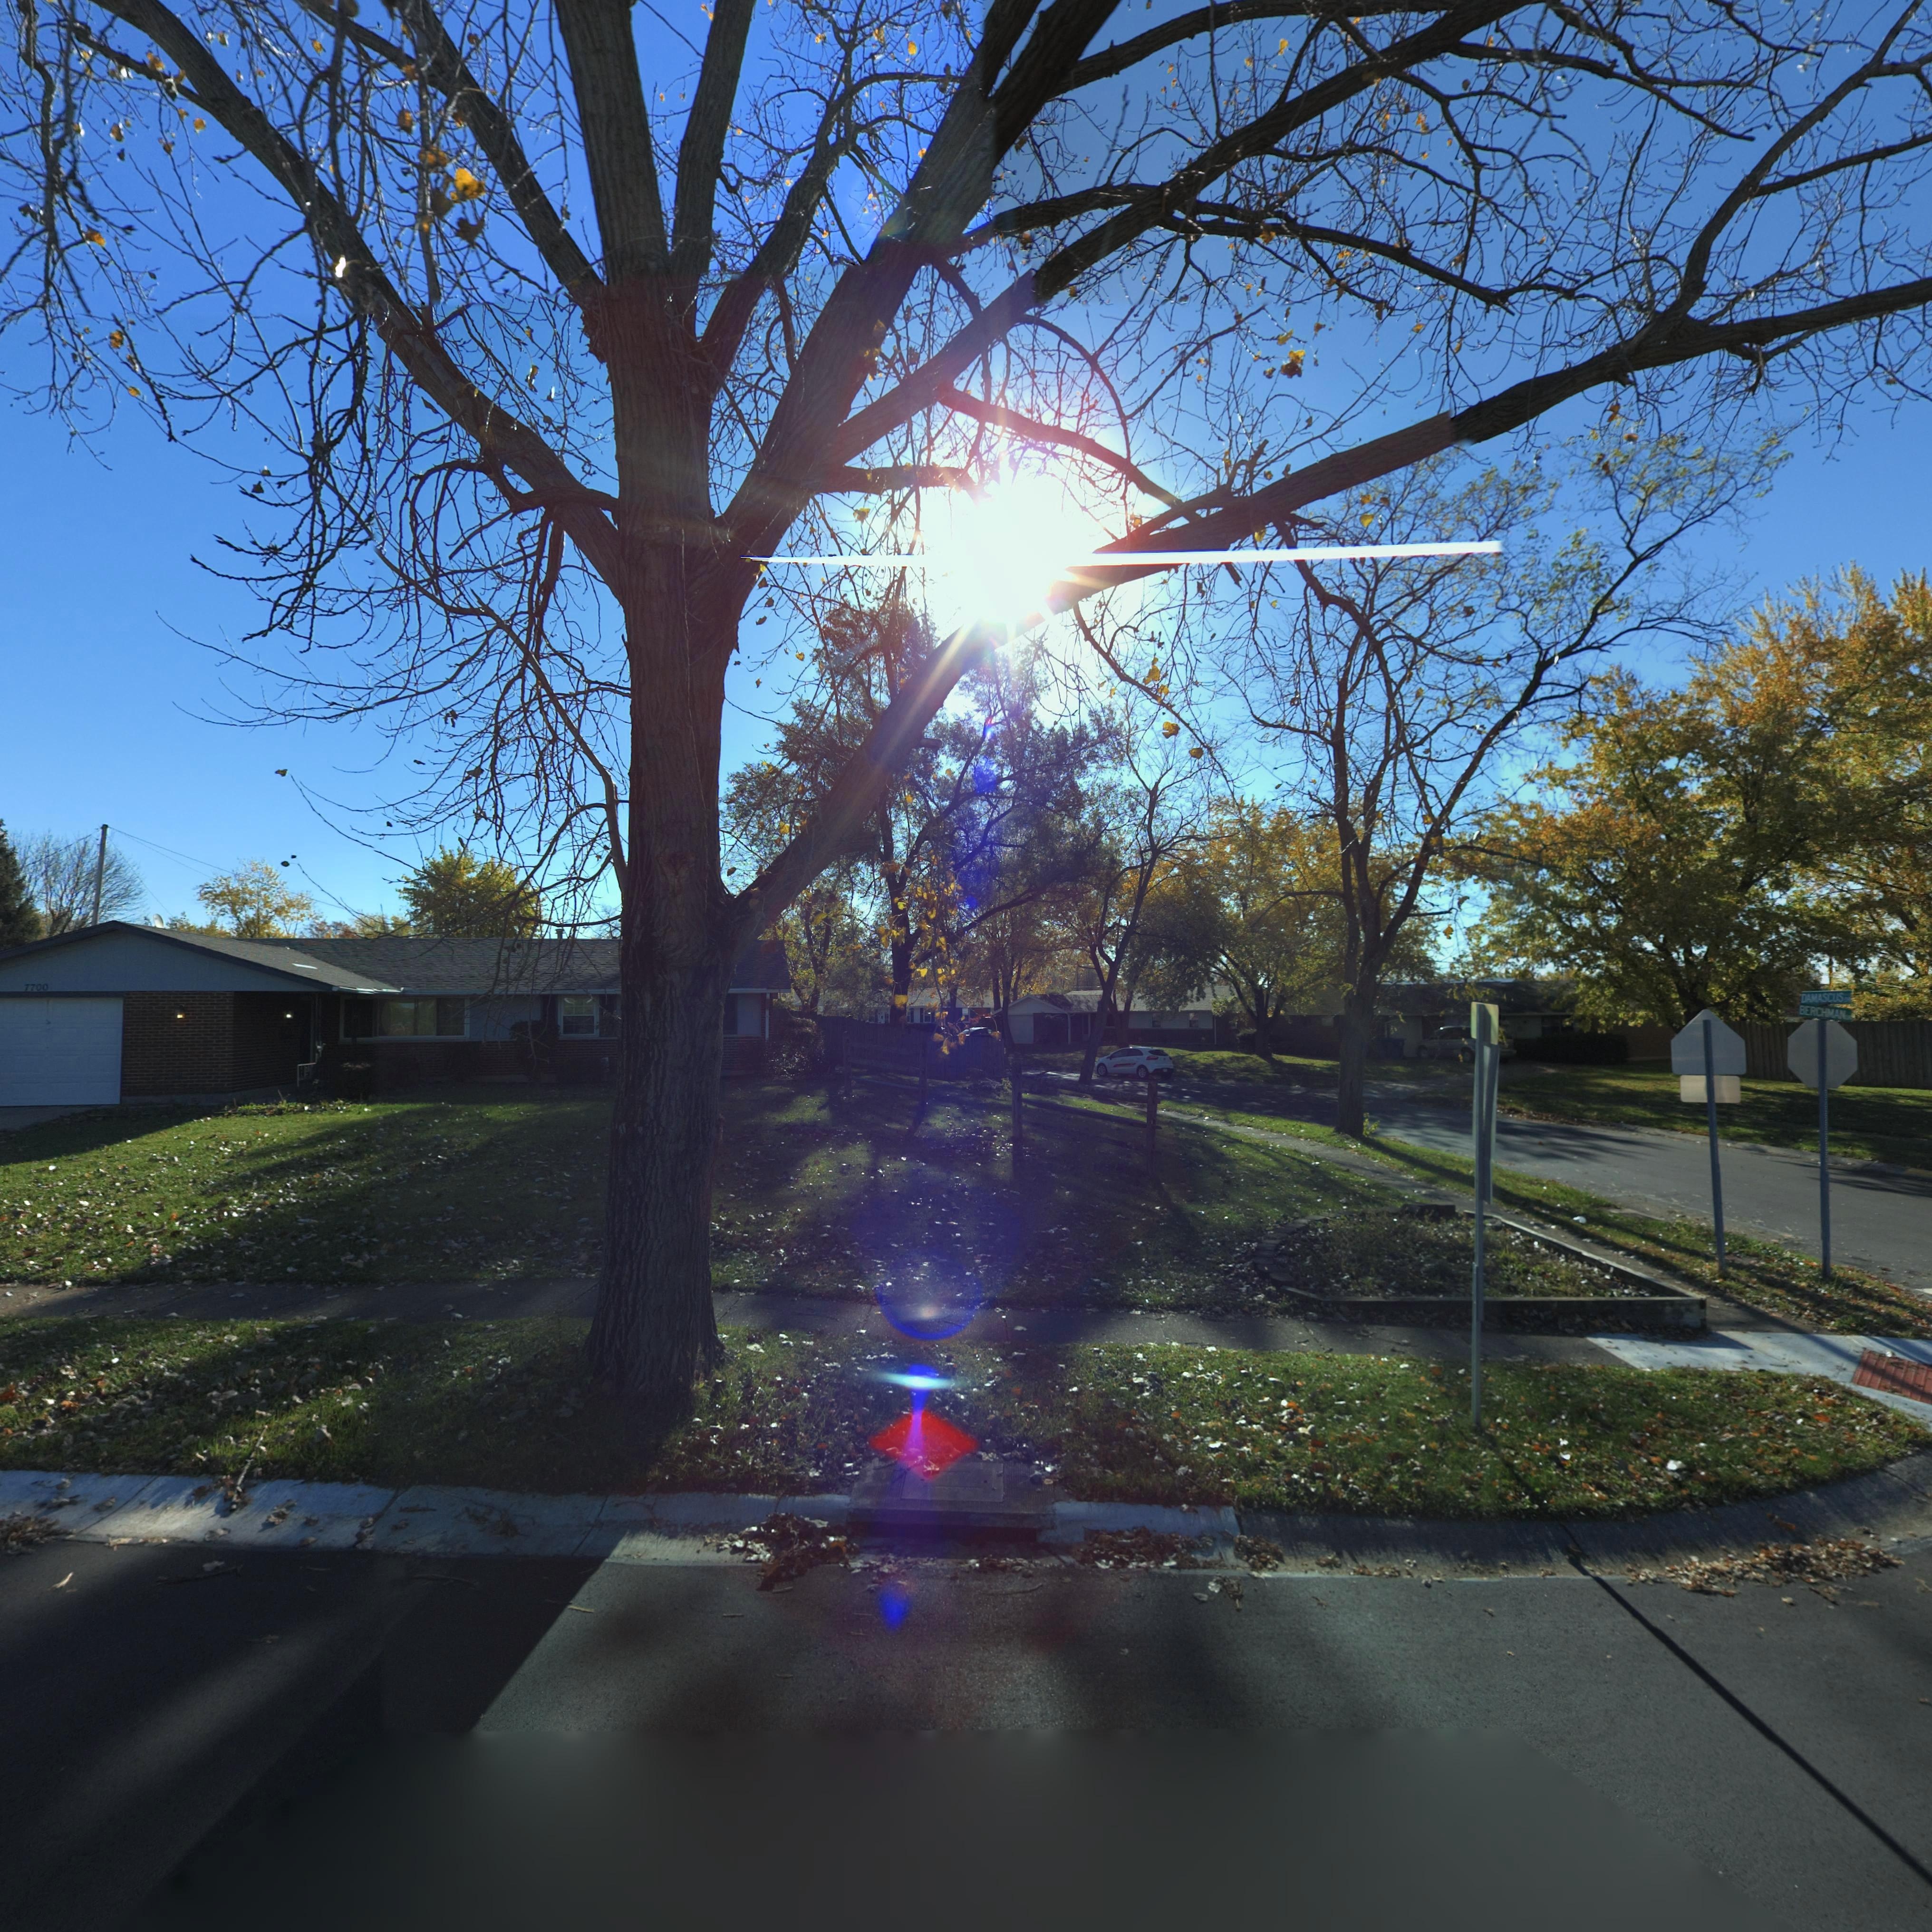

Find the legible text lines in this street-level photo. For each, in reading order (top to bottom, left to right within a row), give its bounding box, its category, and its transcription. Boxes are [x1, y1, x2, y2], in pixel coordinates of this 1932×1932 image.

[24, 982, 50, 992] StreetNumber: 7700
[1800, 992, 1845, 1004] StreetName: DAMASCUS
[1798, 1004, 1846, 1021] StreetName: BERCHMAN